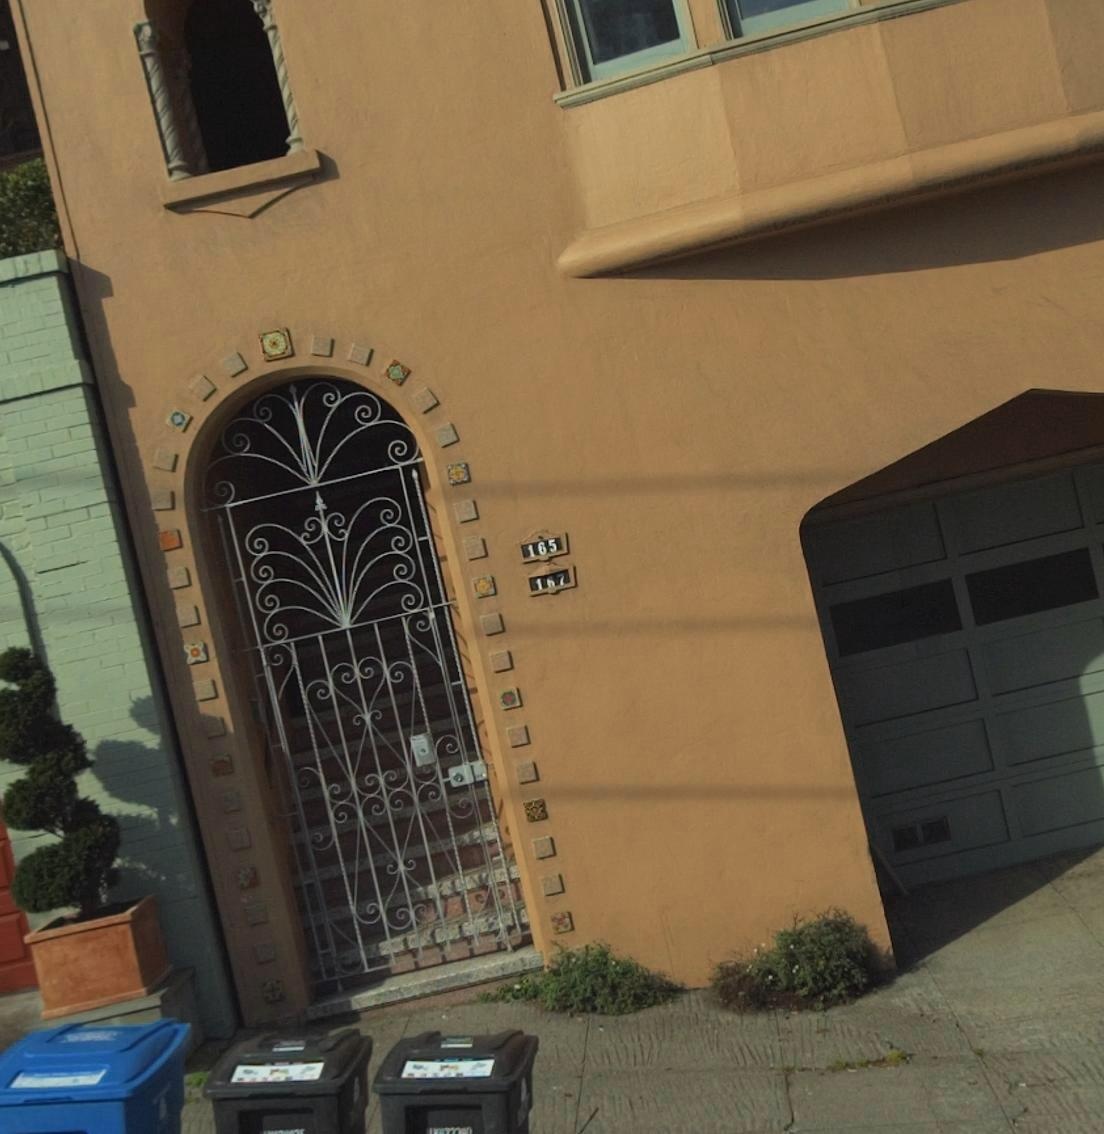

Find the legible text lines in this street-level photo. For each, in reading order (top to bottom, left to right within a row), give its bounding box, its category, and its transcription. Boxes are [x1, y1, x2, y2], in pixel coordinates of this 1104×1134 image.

[525, 537, 559, 558] StreetNumber: 165
[532, 571, 568, 592] StreetNumber: 167